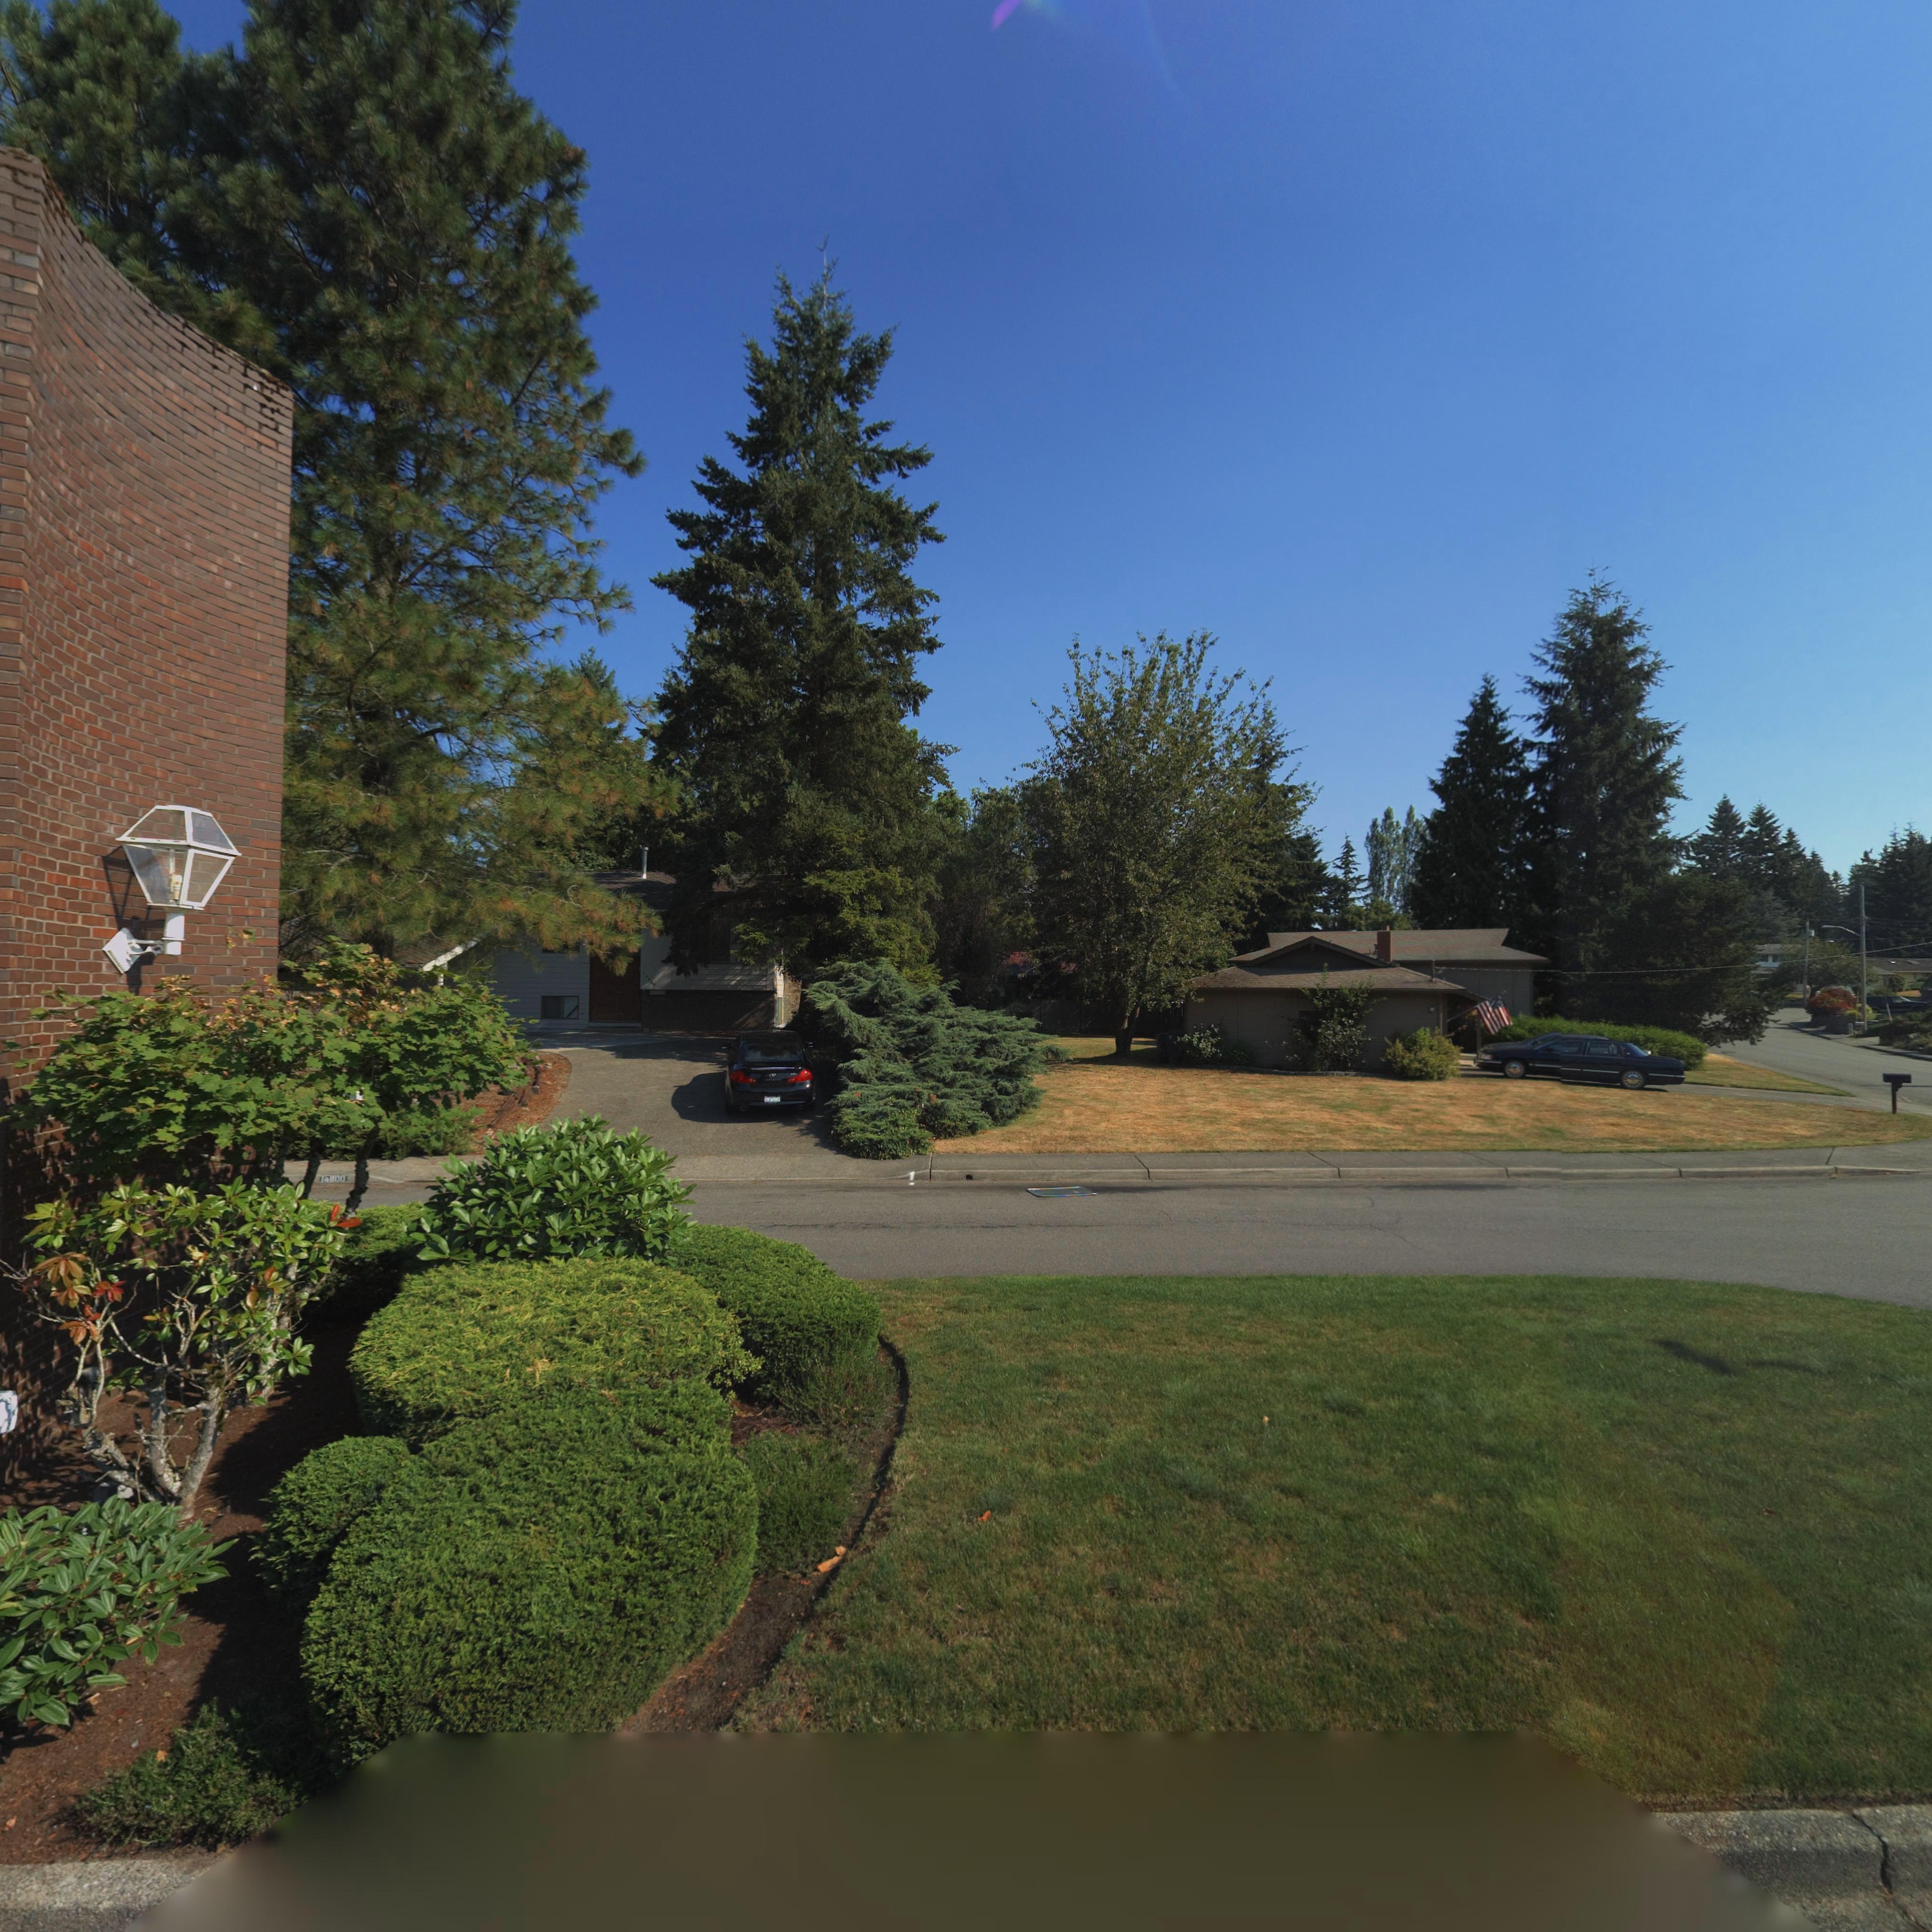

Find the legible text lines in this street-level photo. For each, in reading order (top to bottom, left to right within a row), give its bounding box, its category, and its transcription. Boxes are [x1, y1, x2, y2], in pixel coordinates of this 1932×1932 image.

[320, 1174, 346, 1183] StreetNumber: 14800